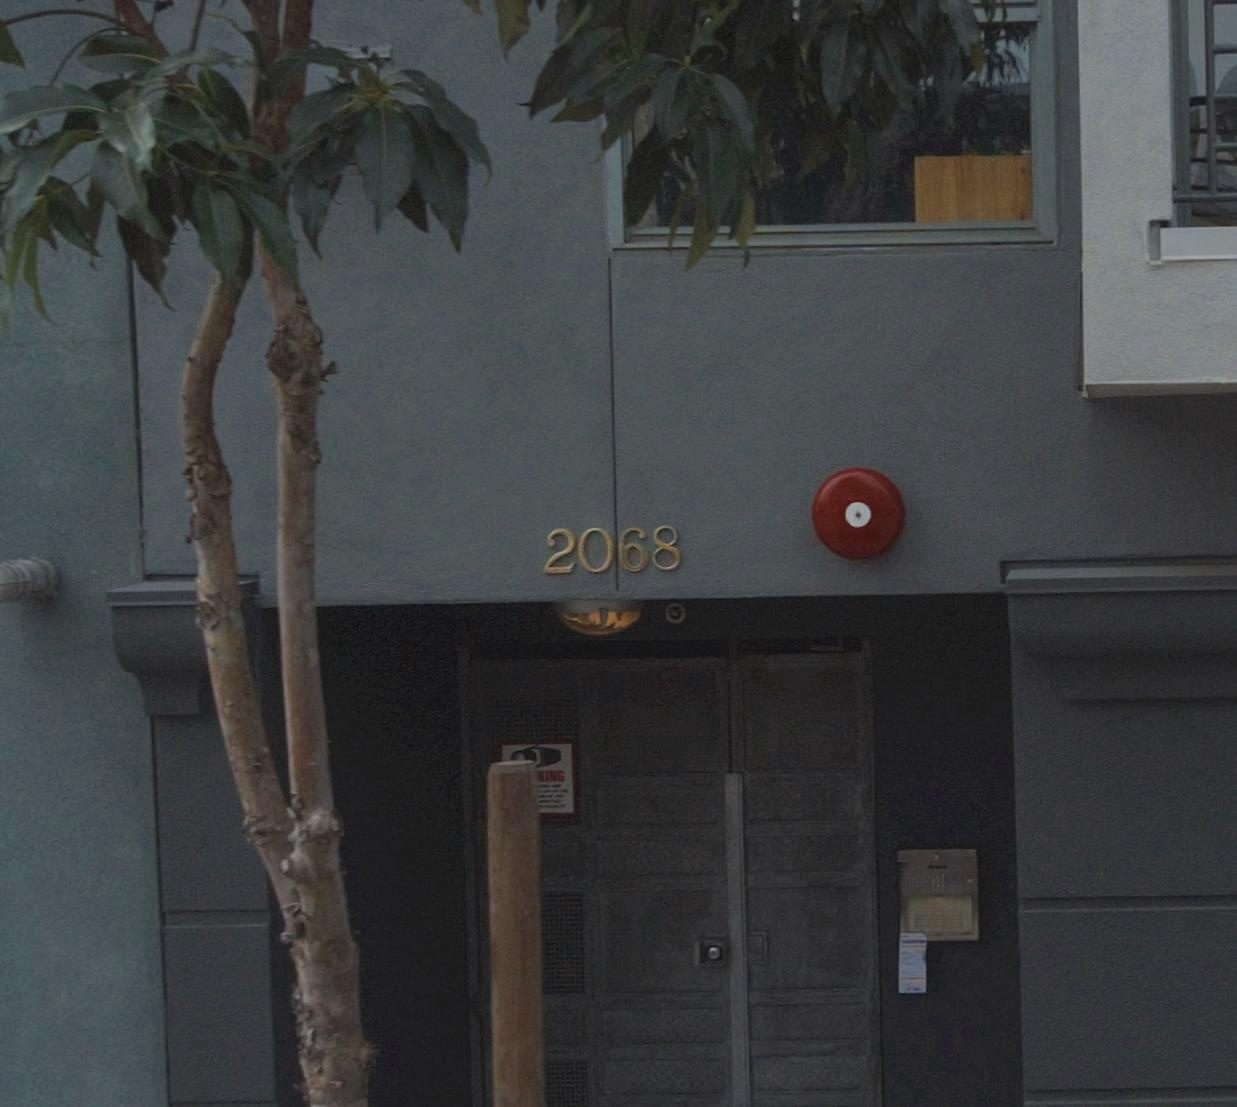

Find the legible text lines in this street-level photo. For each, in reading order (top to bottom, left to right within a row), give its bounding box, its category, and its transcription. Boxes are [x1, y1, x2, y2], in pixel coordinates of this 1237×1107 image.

[541, 522, 687, 578] StreetNumber: 2068
[532, 766, 566, 783] None: NING